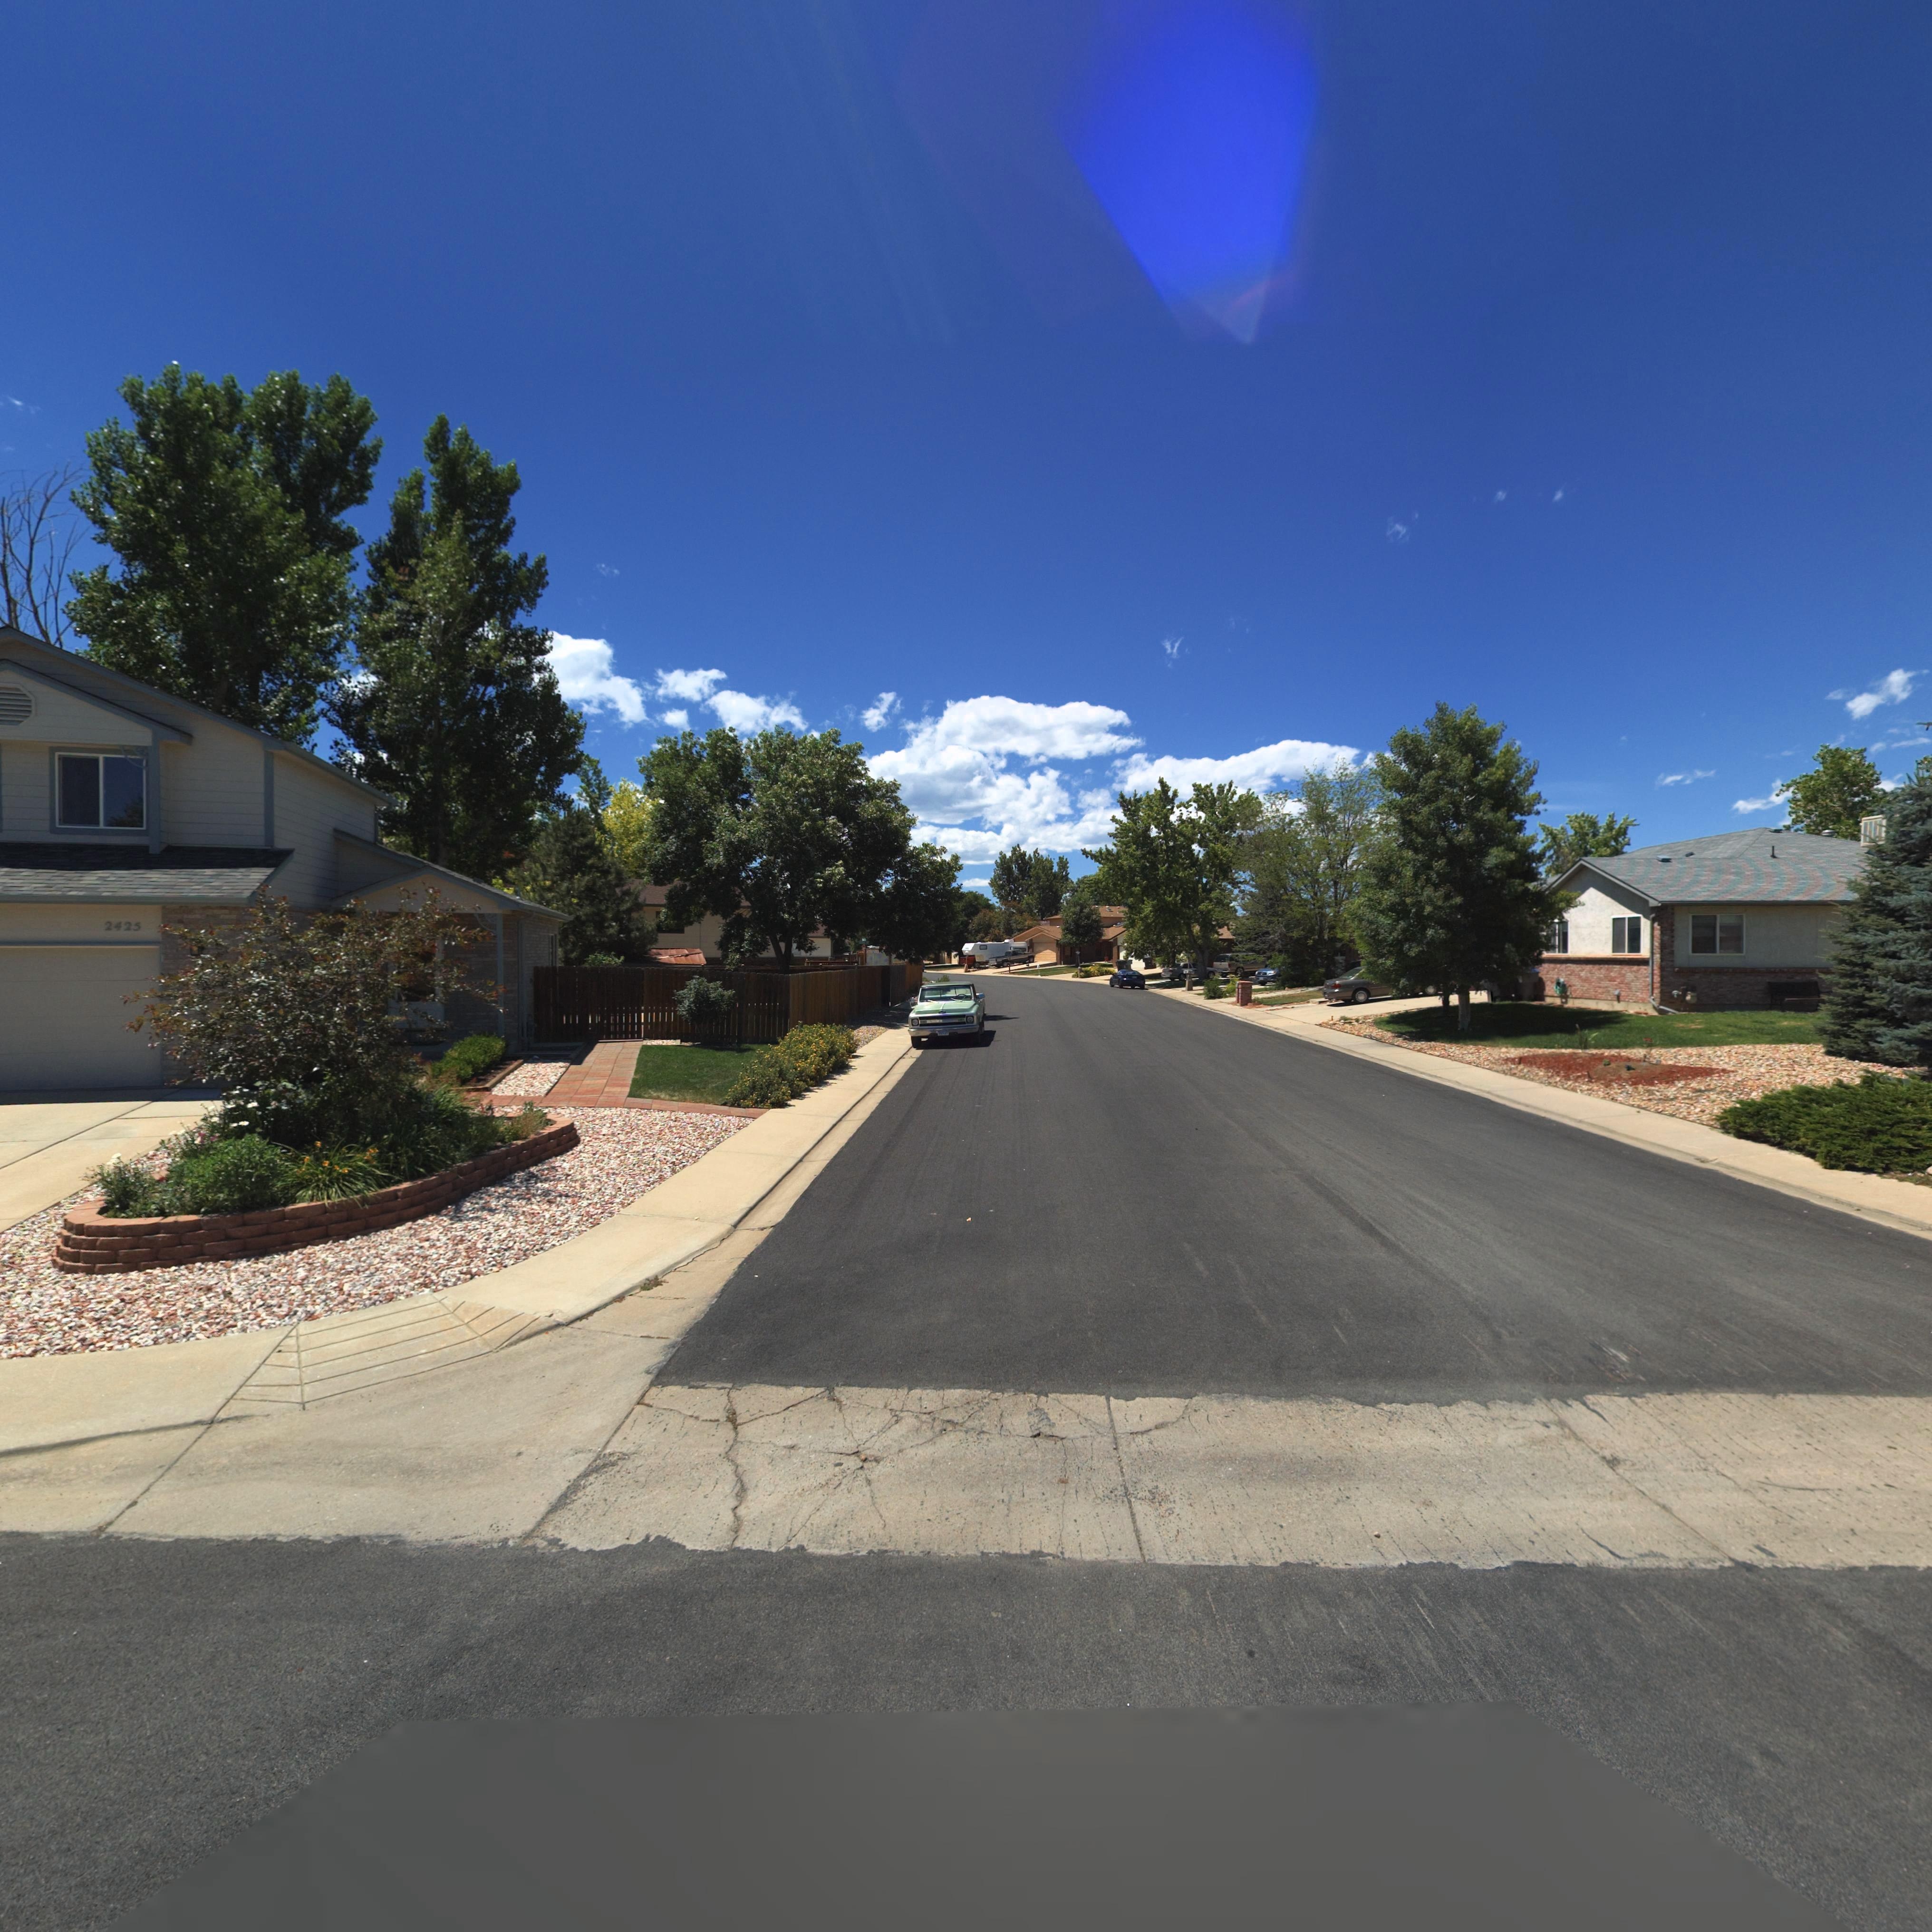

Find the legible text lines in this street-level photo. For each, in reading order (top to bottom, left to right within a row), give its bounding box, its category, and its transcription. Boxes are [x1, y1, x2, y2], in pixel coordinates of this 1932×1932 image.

[104, 921, 141, 931] StreetNumber: 2425